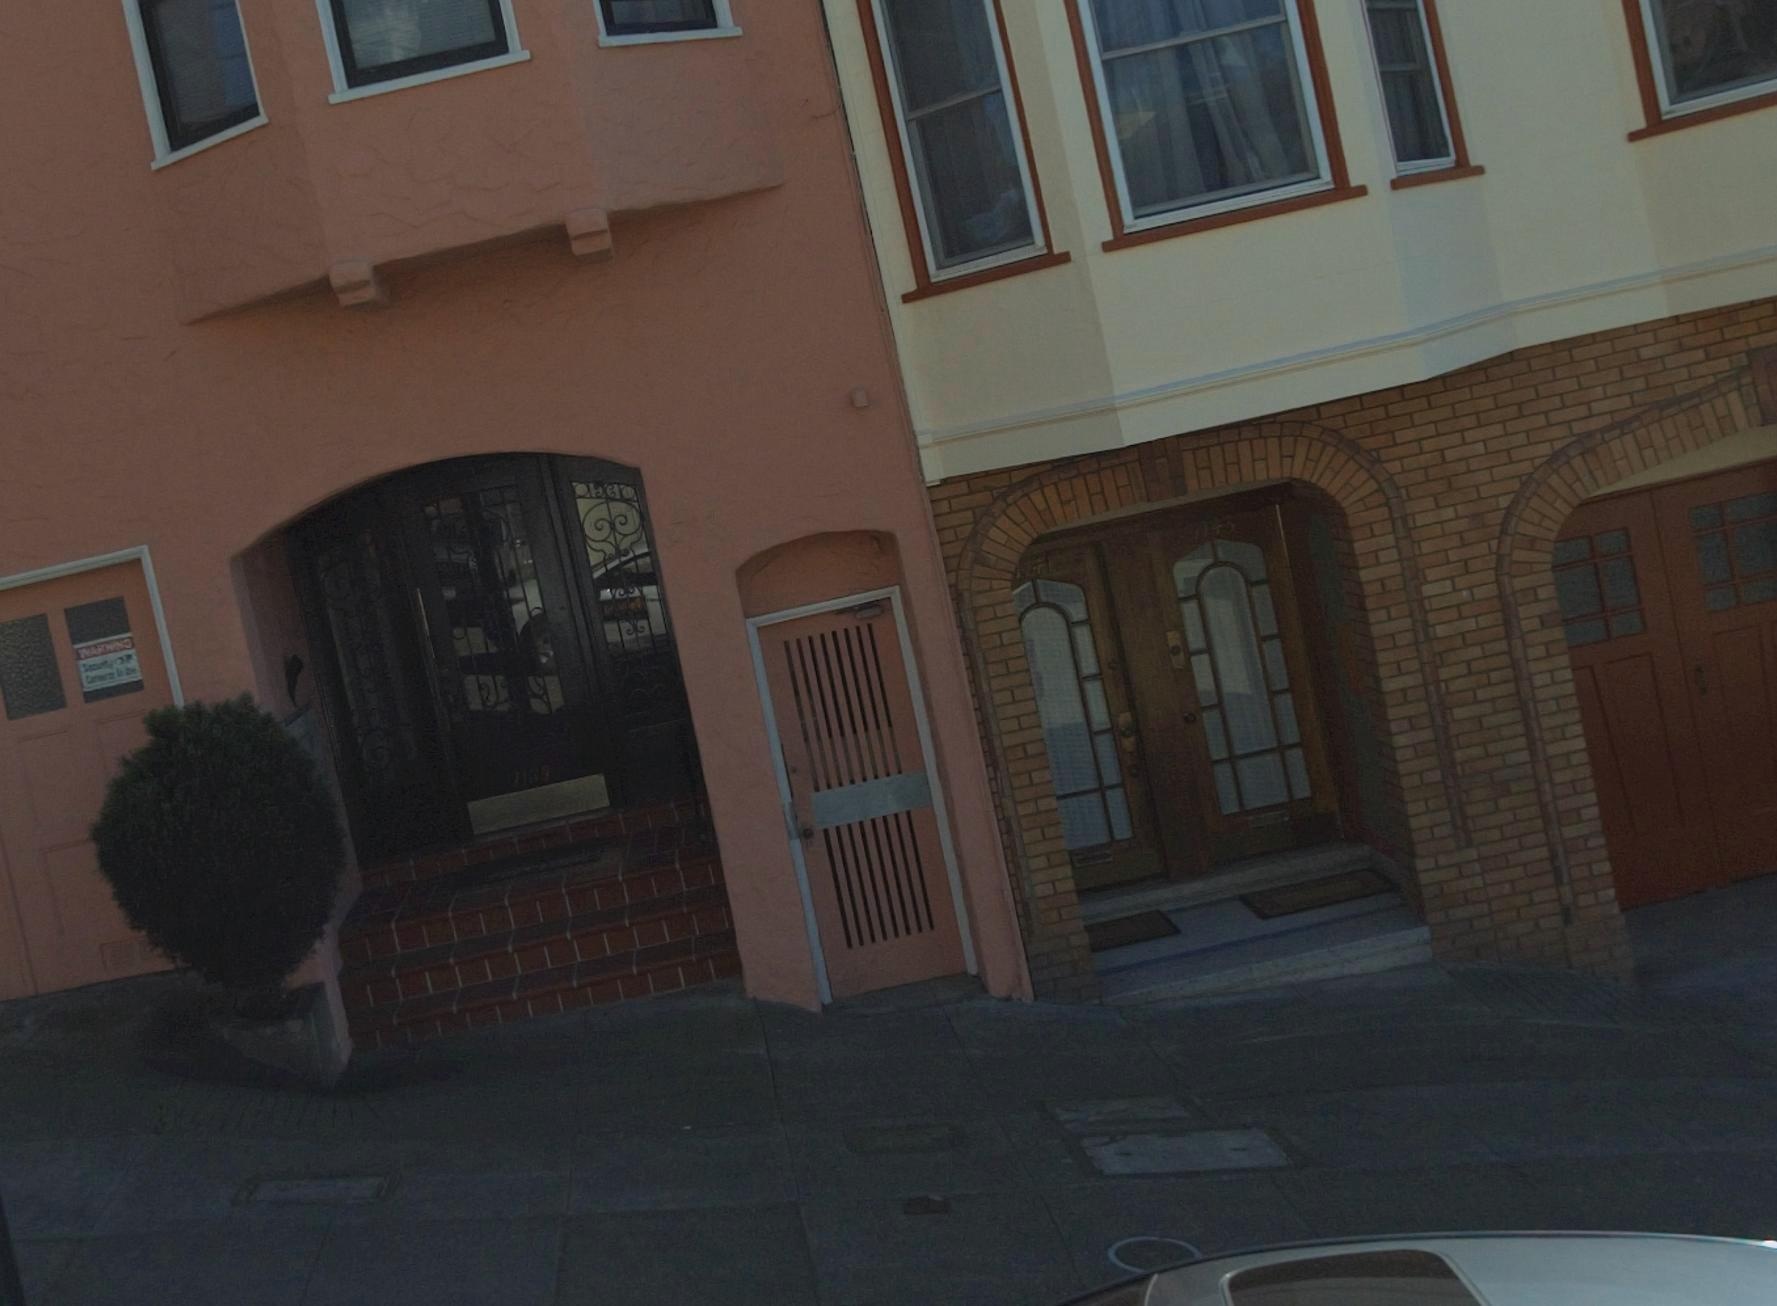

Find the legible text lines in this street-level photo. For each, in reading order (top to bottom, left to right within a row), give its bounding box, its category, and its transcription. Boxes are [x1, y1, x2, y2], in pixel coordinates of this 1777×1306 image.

[1191, 511, 1238, 543] StreetNumber: 1143
[1014, 550, 1055, 580] StreetNumber: 1141
[75, 636, 132, 660] None: WARNING
[513, 763, 551, 787] StreetNumber: 1139